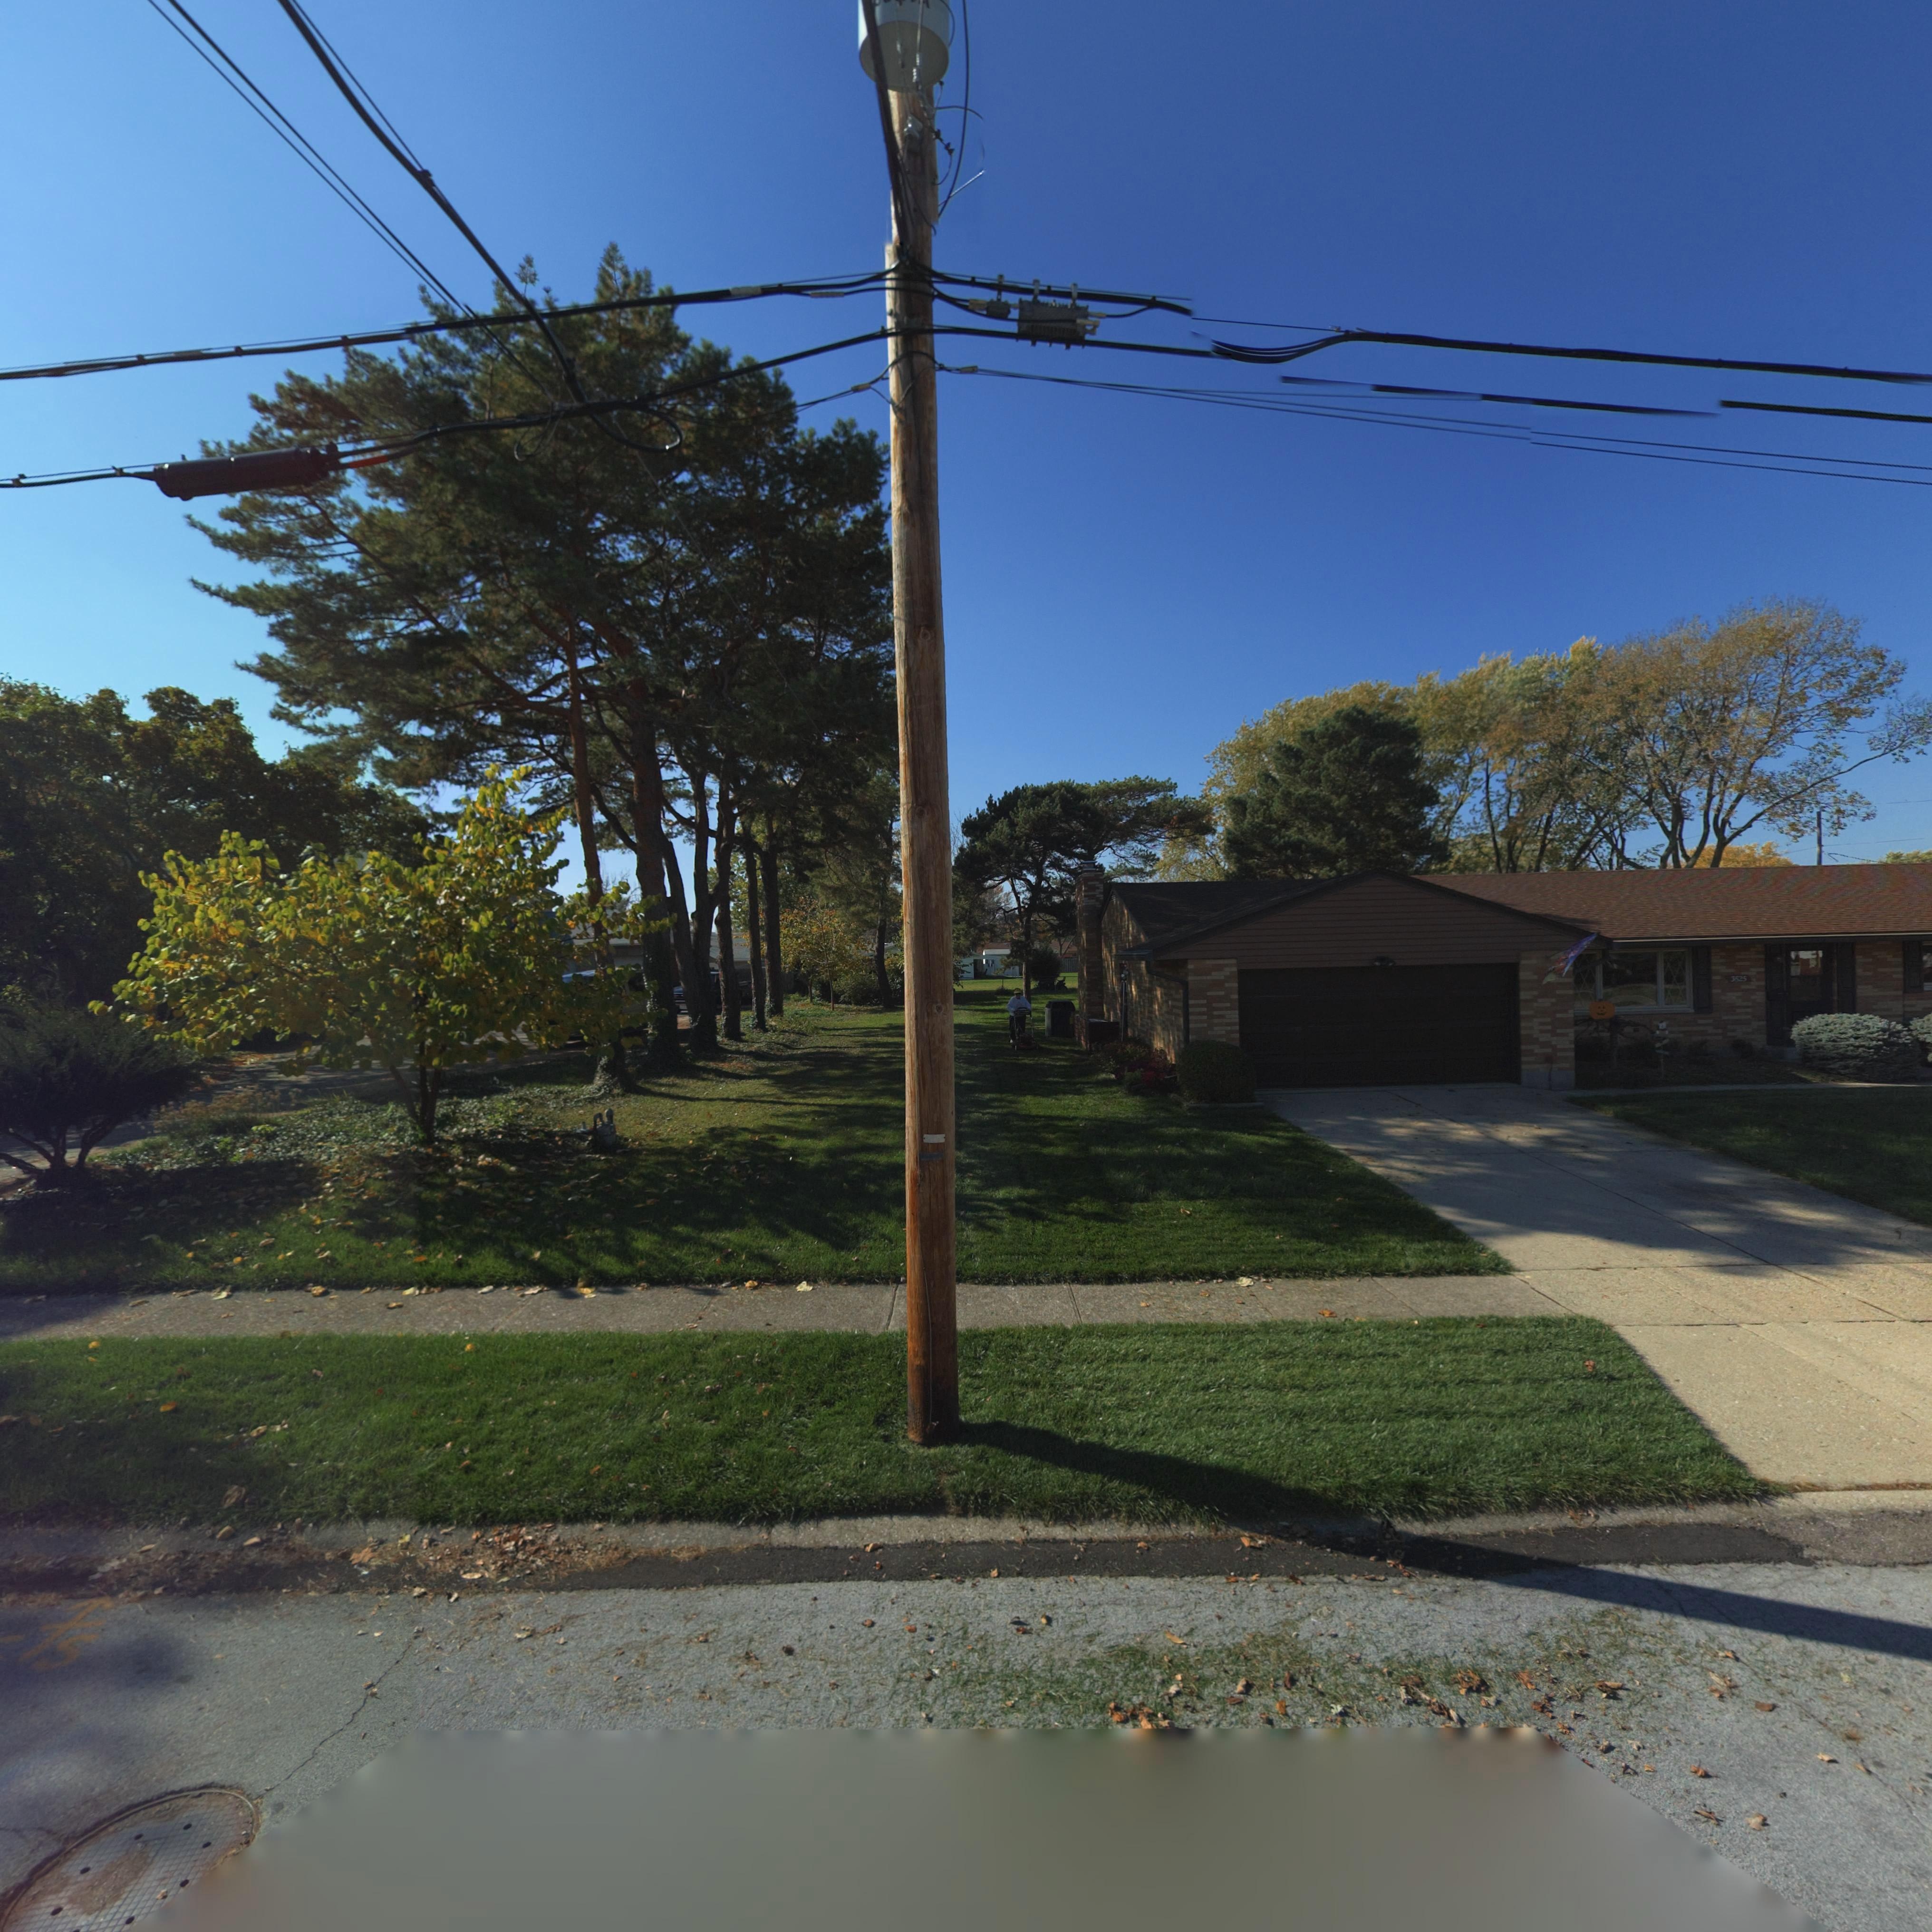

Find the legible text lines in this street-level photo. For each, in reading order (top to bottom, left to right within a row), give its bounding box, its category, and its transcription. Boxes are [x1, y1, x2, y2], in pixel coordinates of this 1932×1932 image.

[1729, 975, 1747, 982] StreetNumber: 3625